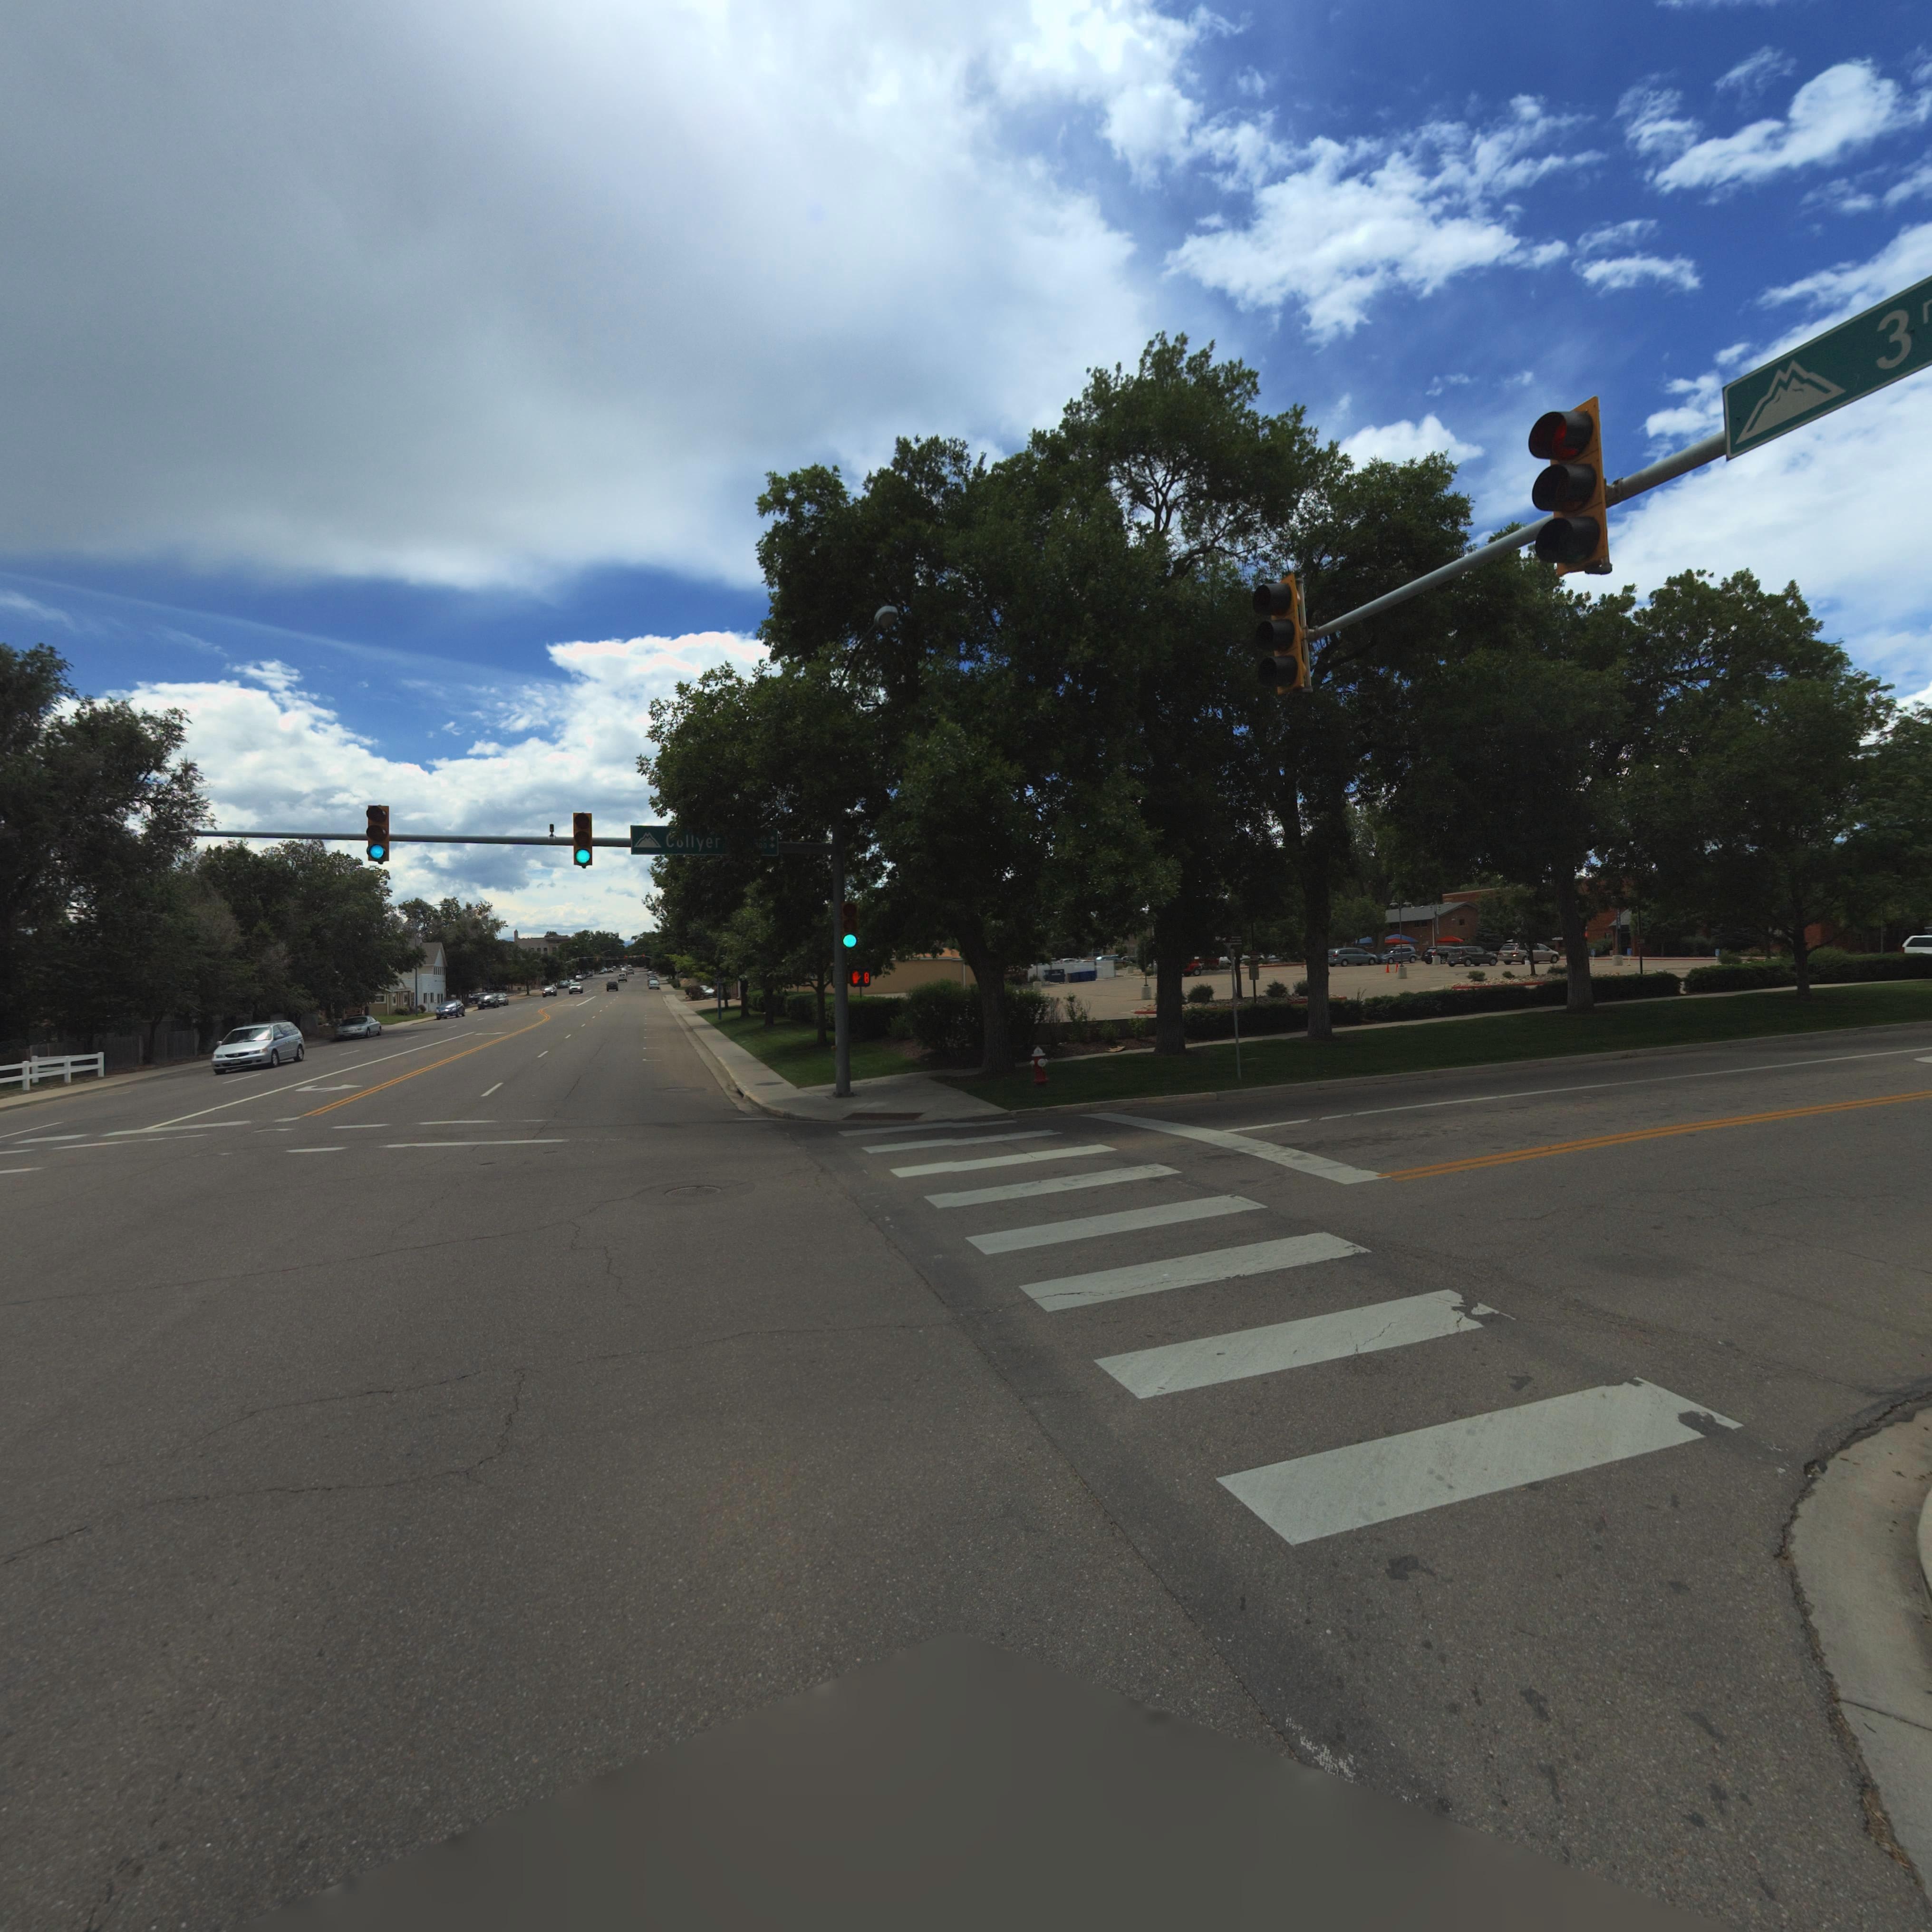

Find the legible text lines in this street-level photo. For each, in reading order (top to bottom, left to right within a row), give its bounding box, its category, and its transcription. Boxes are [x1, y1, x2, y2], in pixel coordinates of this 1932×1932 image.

[1875, 309, 1912, 371] StreetName: 3
[665, 831, 721, 852] StreetName: Collyer
[753, 834, 767, 841] StreetNumberRange: **0
[753, 842, 776, 849] StreetNumberRange: *00->